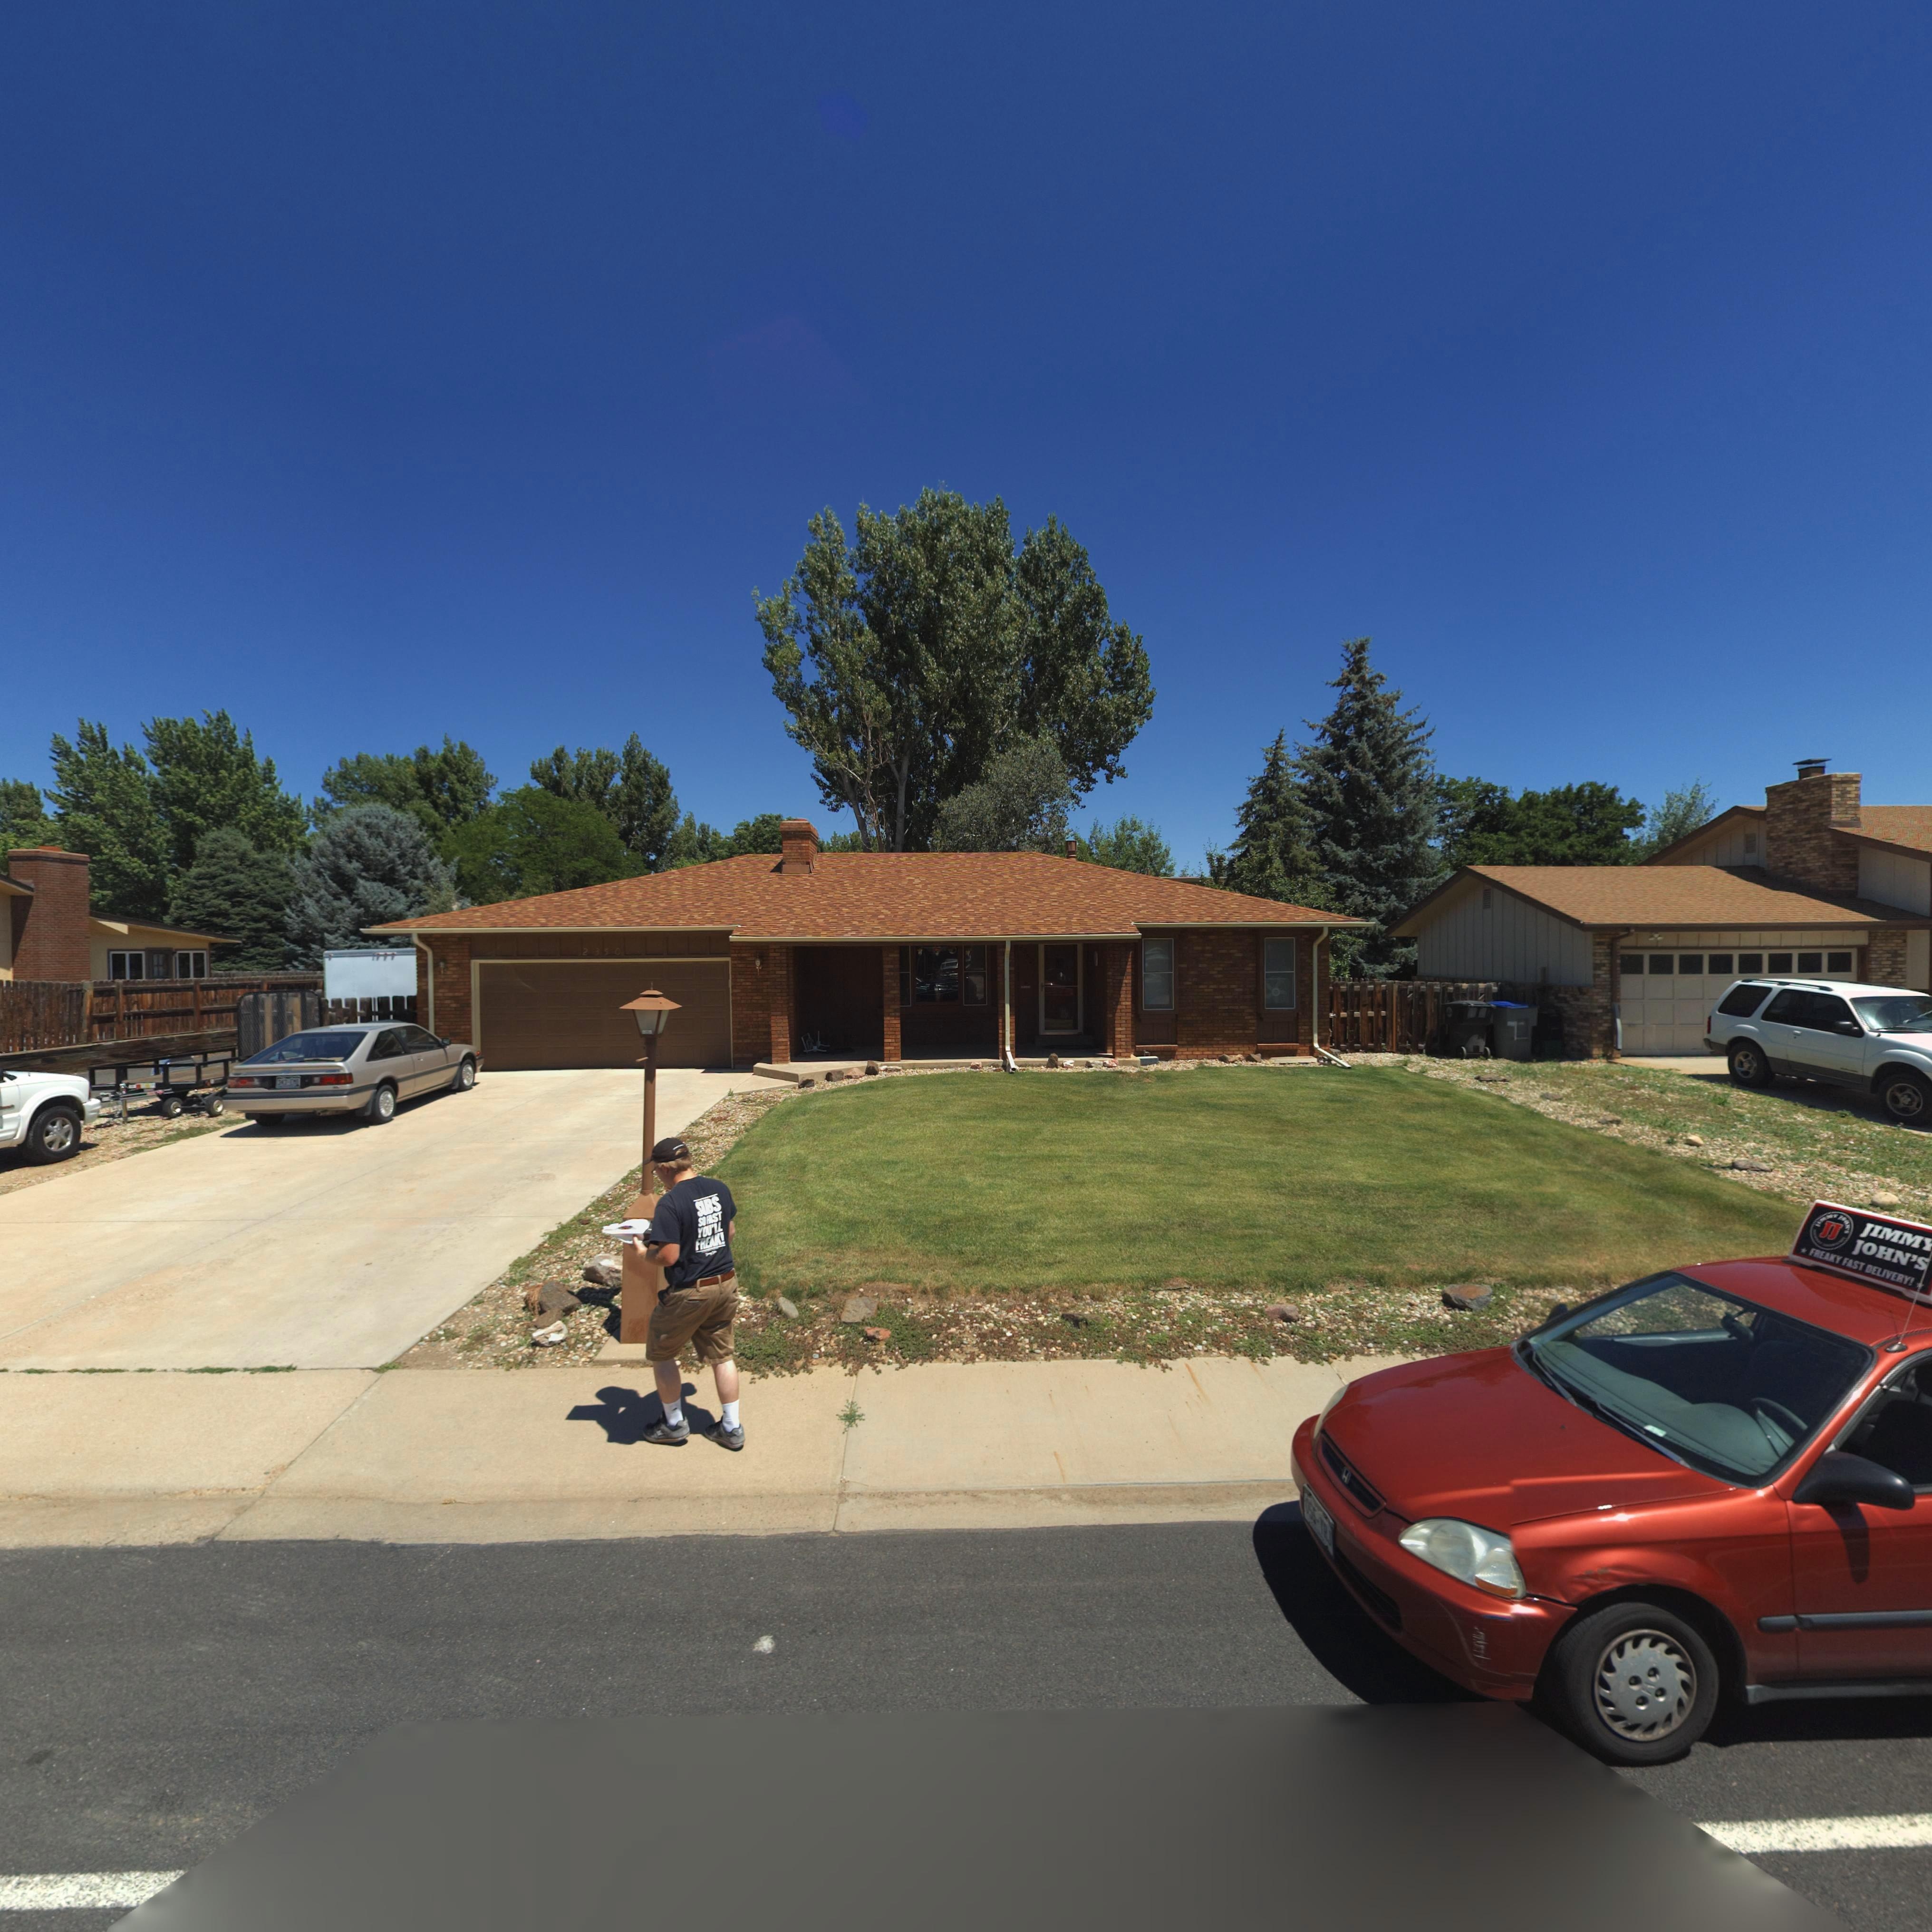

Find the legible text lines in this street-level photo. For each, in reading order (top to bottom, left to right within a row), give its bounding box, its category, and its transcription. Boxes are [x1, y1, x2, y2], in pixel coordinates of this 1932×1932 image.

[582, 947, 621, 956] StreetNumber: 2350
[1023, 947, 1033, 964] StreetNumber: 350